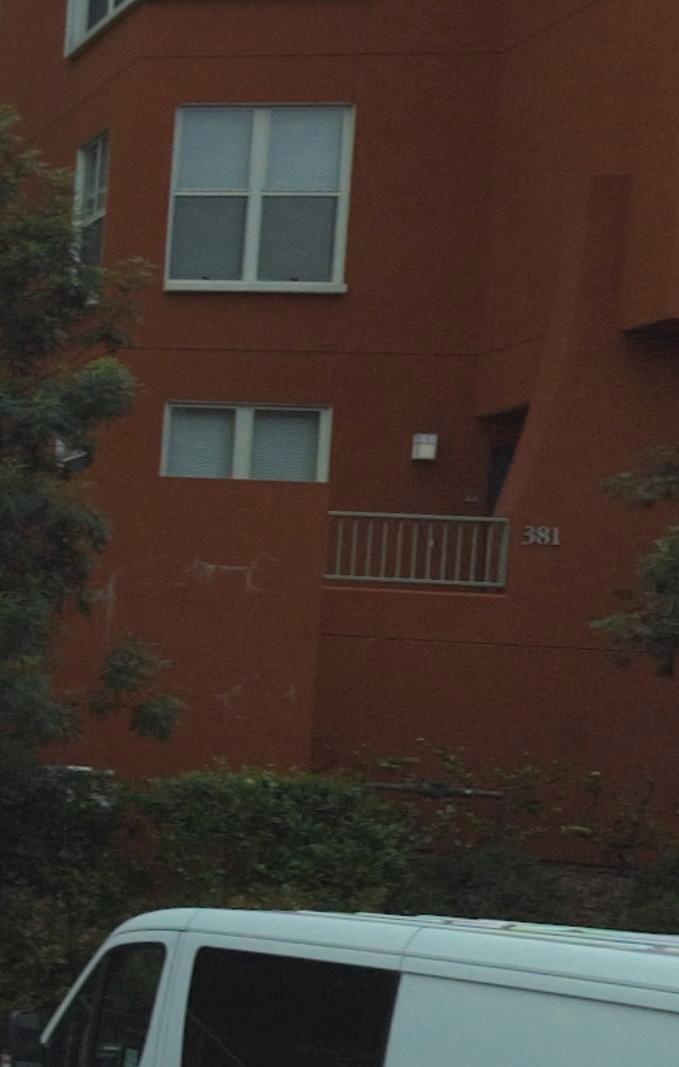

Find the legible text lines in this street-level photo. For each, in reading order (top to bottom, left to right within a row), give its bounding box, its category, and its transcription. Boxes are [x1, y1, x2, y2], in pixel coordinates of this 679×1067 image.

[518, 524, 563, 548] StreetNumber: 381